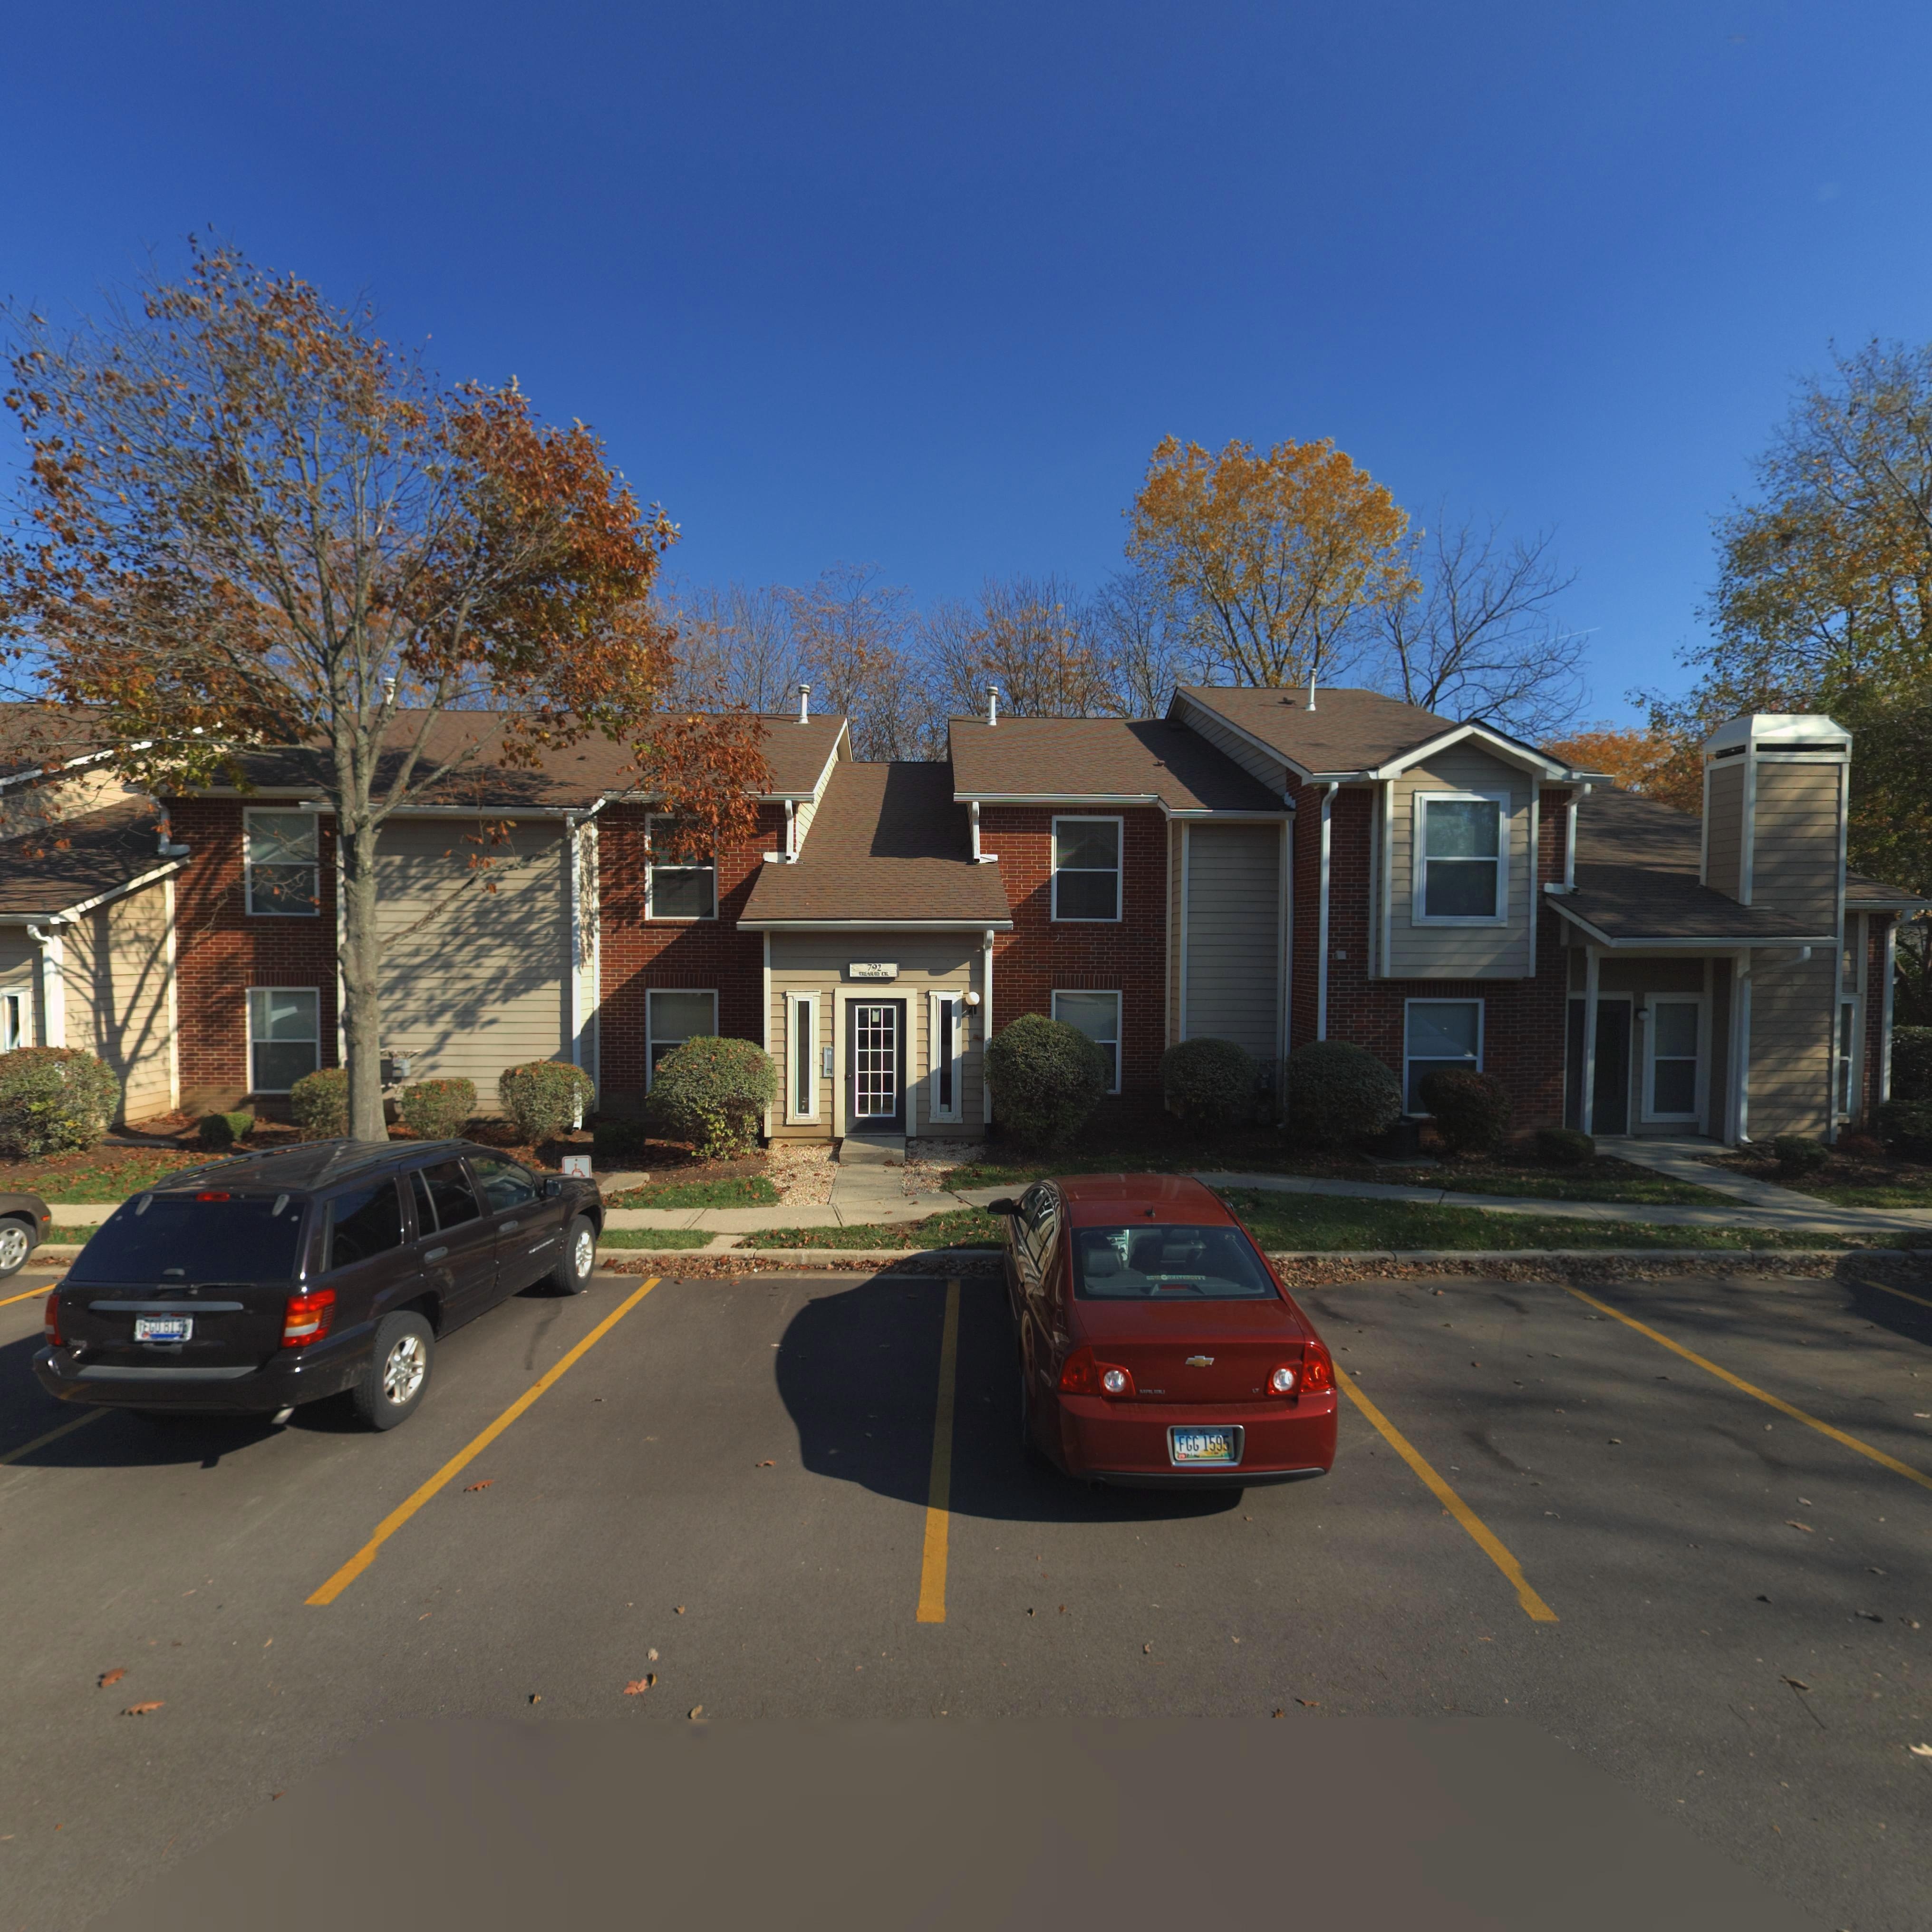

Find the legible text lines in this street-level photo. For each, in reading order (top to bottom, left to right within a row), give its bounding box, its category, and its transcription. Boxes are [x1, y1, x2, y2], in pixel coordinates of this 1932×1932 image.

[867, 963, 882, 971] StreetNumber: 792
[858, 971, 889, 976] StreetName: TREASURY *R
[1581, 975, 1588, 984] StreetNumber: 7
[1167, 1275, 1206, 1280] None: *NIVE**ITY
[142, 1318, 182, 1334] None: EGU*813
[67, 1337, 88, 1349] None: Jeep
[1138, 1389, 1166, 1394] None: MALIBU
[1251, 1388, 1260, 1393] None: LT
[1178, 1435, 1230, 1453] None: FGG*1595